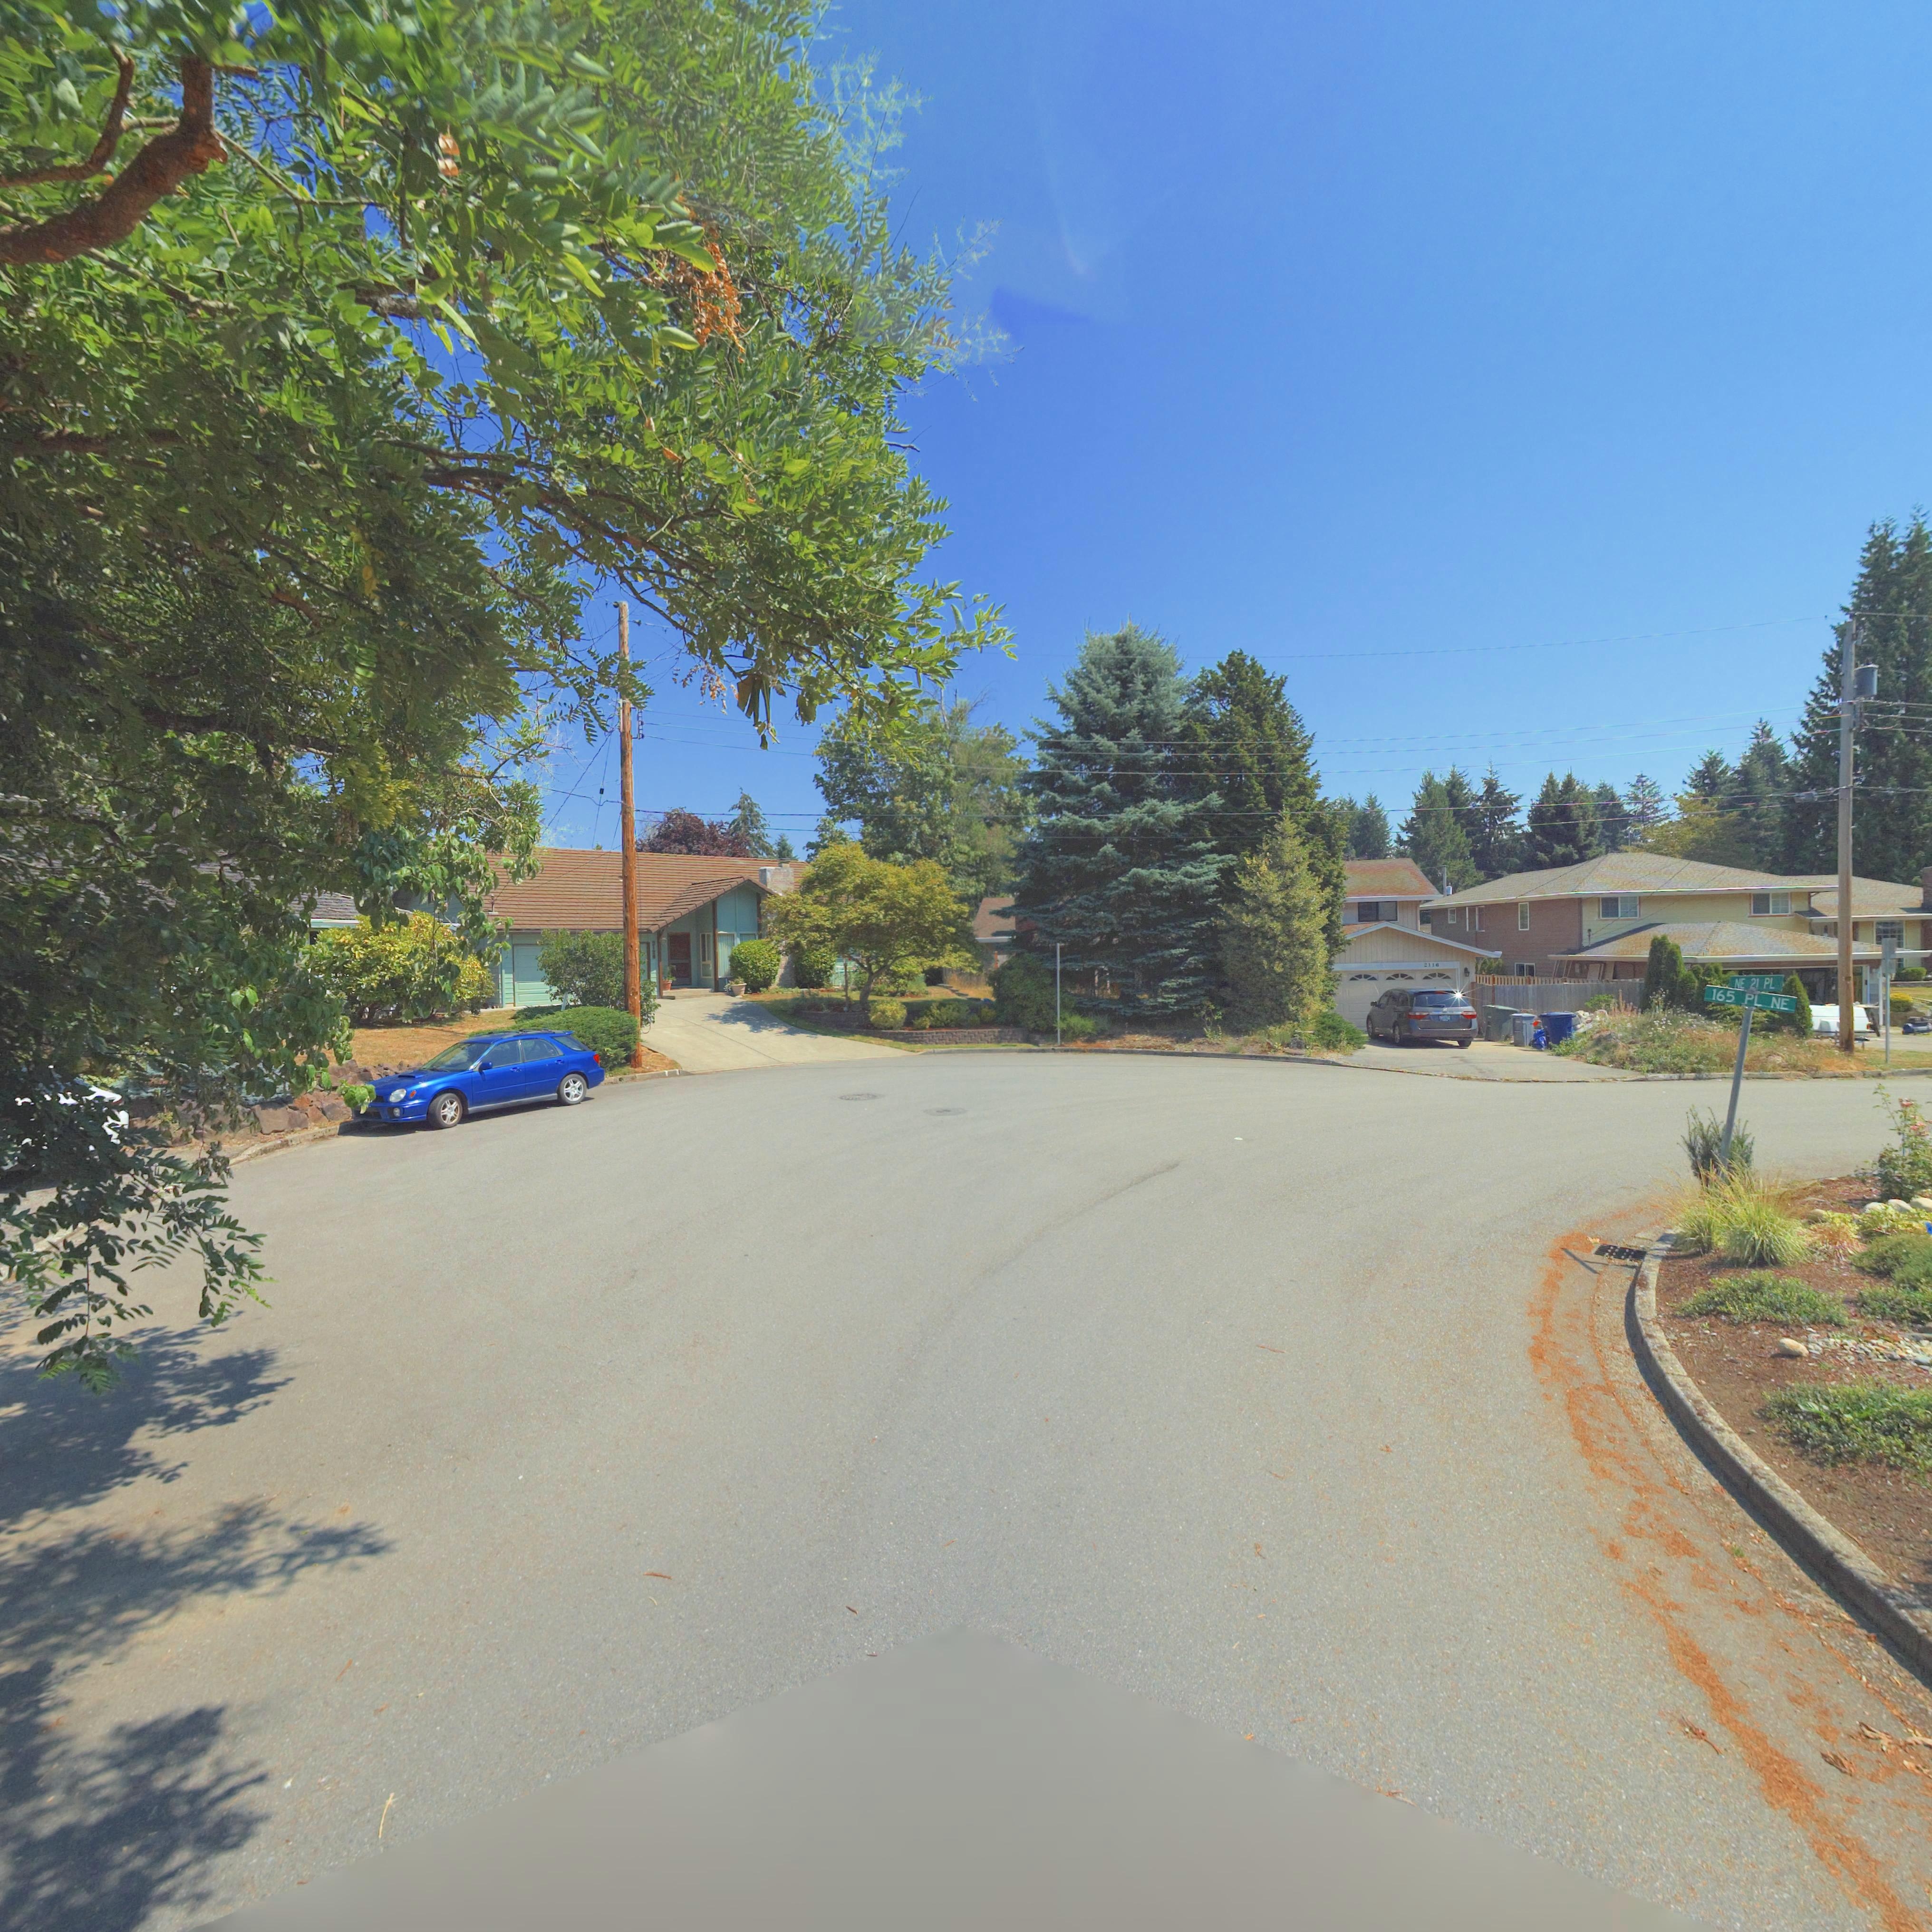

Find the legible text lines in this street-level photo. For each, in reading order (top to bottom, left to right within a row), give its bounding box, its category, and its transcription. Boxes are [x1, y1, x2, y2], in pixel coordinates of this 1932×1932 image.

[1423, 963, 1439, 967] StreetNumber: 2116
[1734, 976, 1776, 989] StreetName: NE 21 PL
[1712, 988, 1790, 1010] StreetName: 165 PL NE